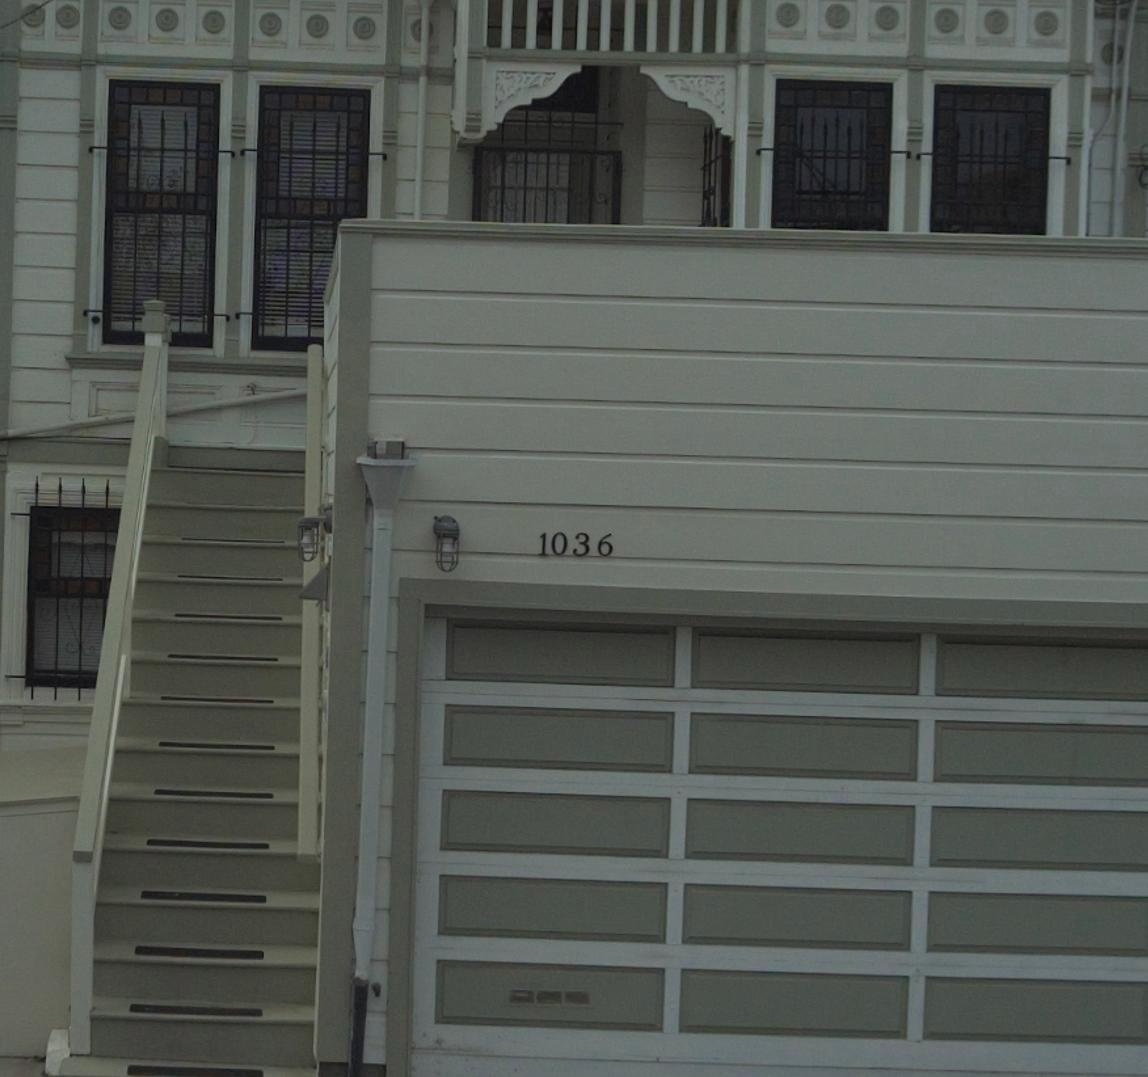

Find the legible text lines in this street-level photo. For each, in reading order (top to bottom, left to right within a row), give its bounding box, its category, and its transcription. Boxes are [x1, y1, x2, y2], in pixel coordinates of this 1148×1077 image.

[537, 530, 616, 558] StreetNumber: 1036